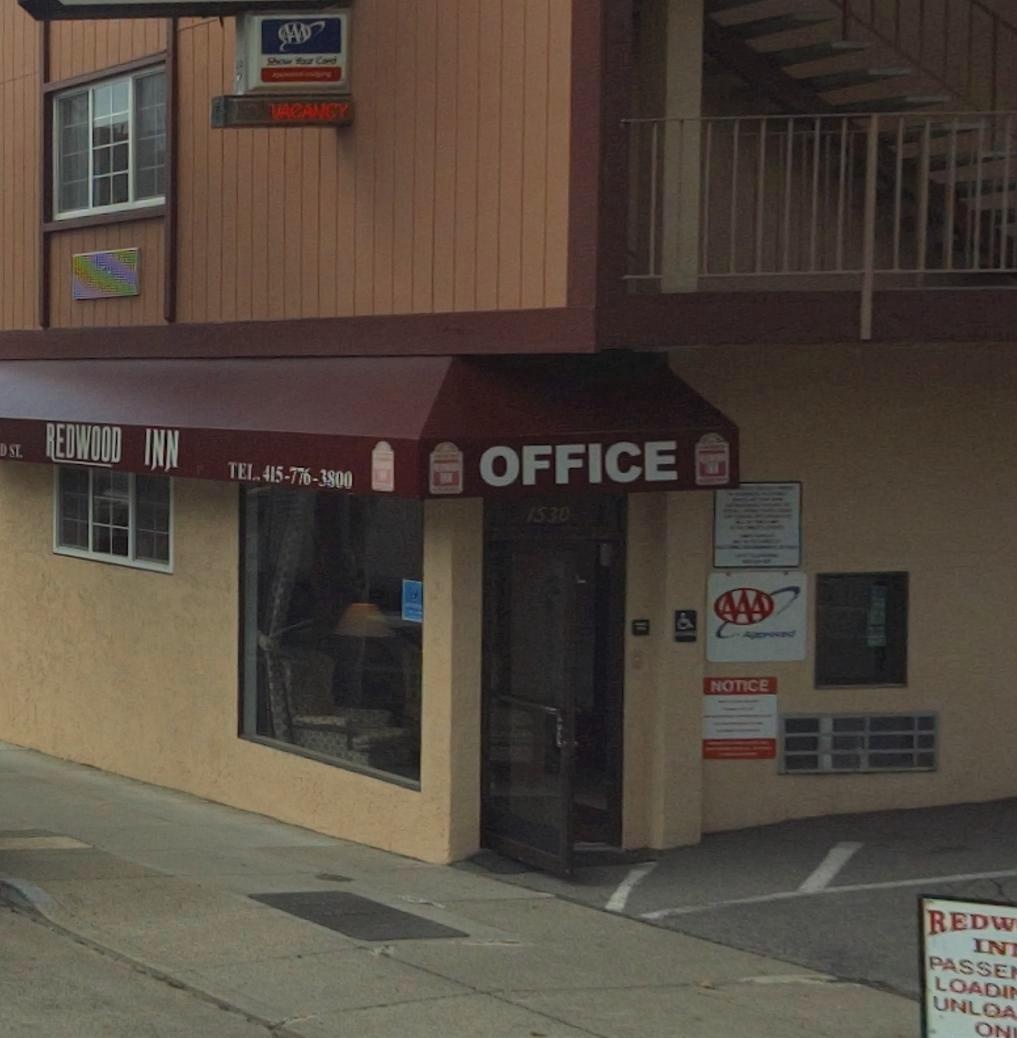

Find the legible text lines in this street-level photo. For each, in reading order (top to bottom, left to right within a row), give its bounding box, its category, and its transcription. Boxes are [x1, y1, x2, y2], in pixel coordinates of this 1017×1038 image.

[281, 23, 308, 43] None: AAA
[267, 56, 338, 66] None: Show Your Card
[231, 102, 352, 120] None: NO VACANCY
[8, 444, 25, 458] StreetName: ST.
[46, 422, 180, 469] BusinessName: REDWOOD INN
[227, 460, 353, 490] None: TEL.415-776-3800
[433, 463, 460, 473] BusinessName: REDWOOD
[439, 473, 454, 483] BusinessName: INN
[478, 440, 678, 488] None: OFFICE
[525, 506, 571, 525] StreetNumber: 1530
[722, 588, 767, 622] None: AAA
[739, 629, 795, 640] None: Approved
[710, 679, 770, 693] None: NOTICE
[928, 910, 1016, 935] None: REDW
[972, 937, 1007, 957] None: IN
[929, 955, 1009, 979] None: PASSE
[935, 976, 1009, 1000] None: LOADI
[932, 994, 1017, 1020] None: UNLOA
[975, 1021, 1012, 1038] None: ON